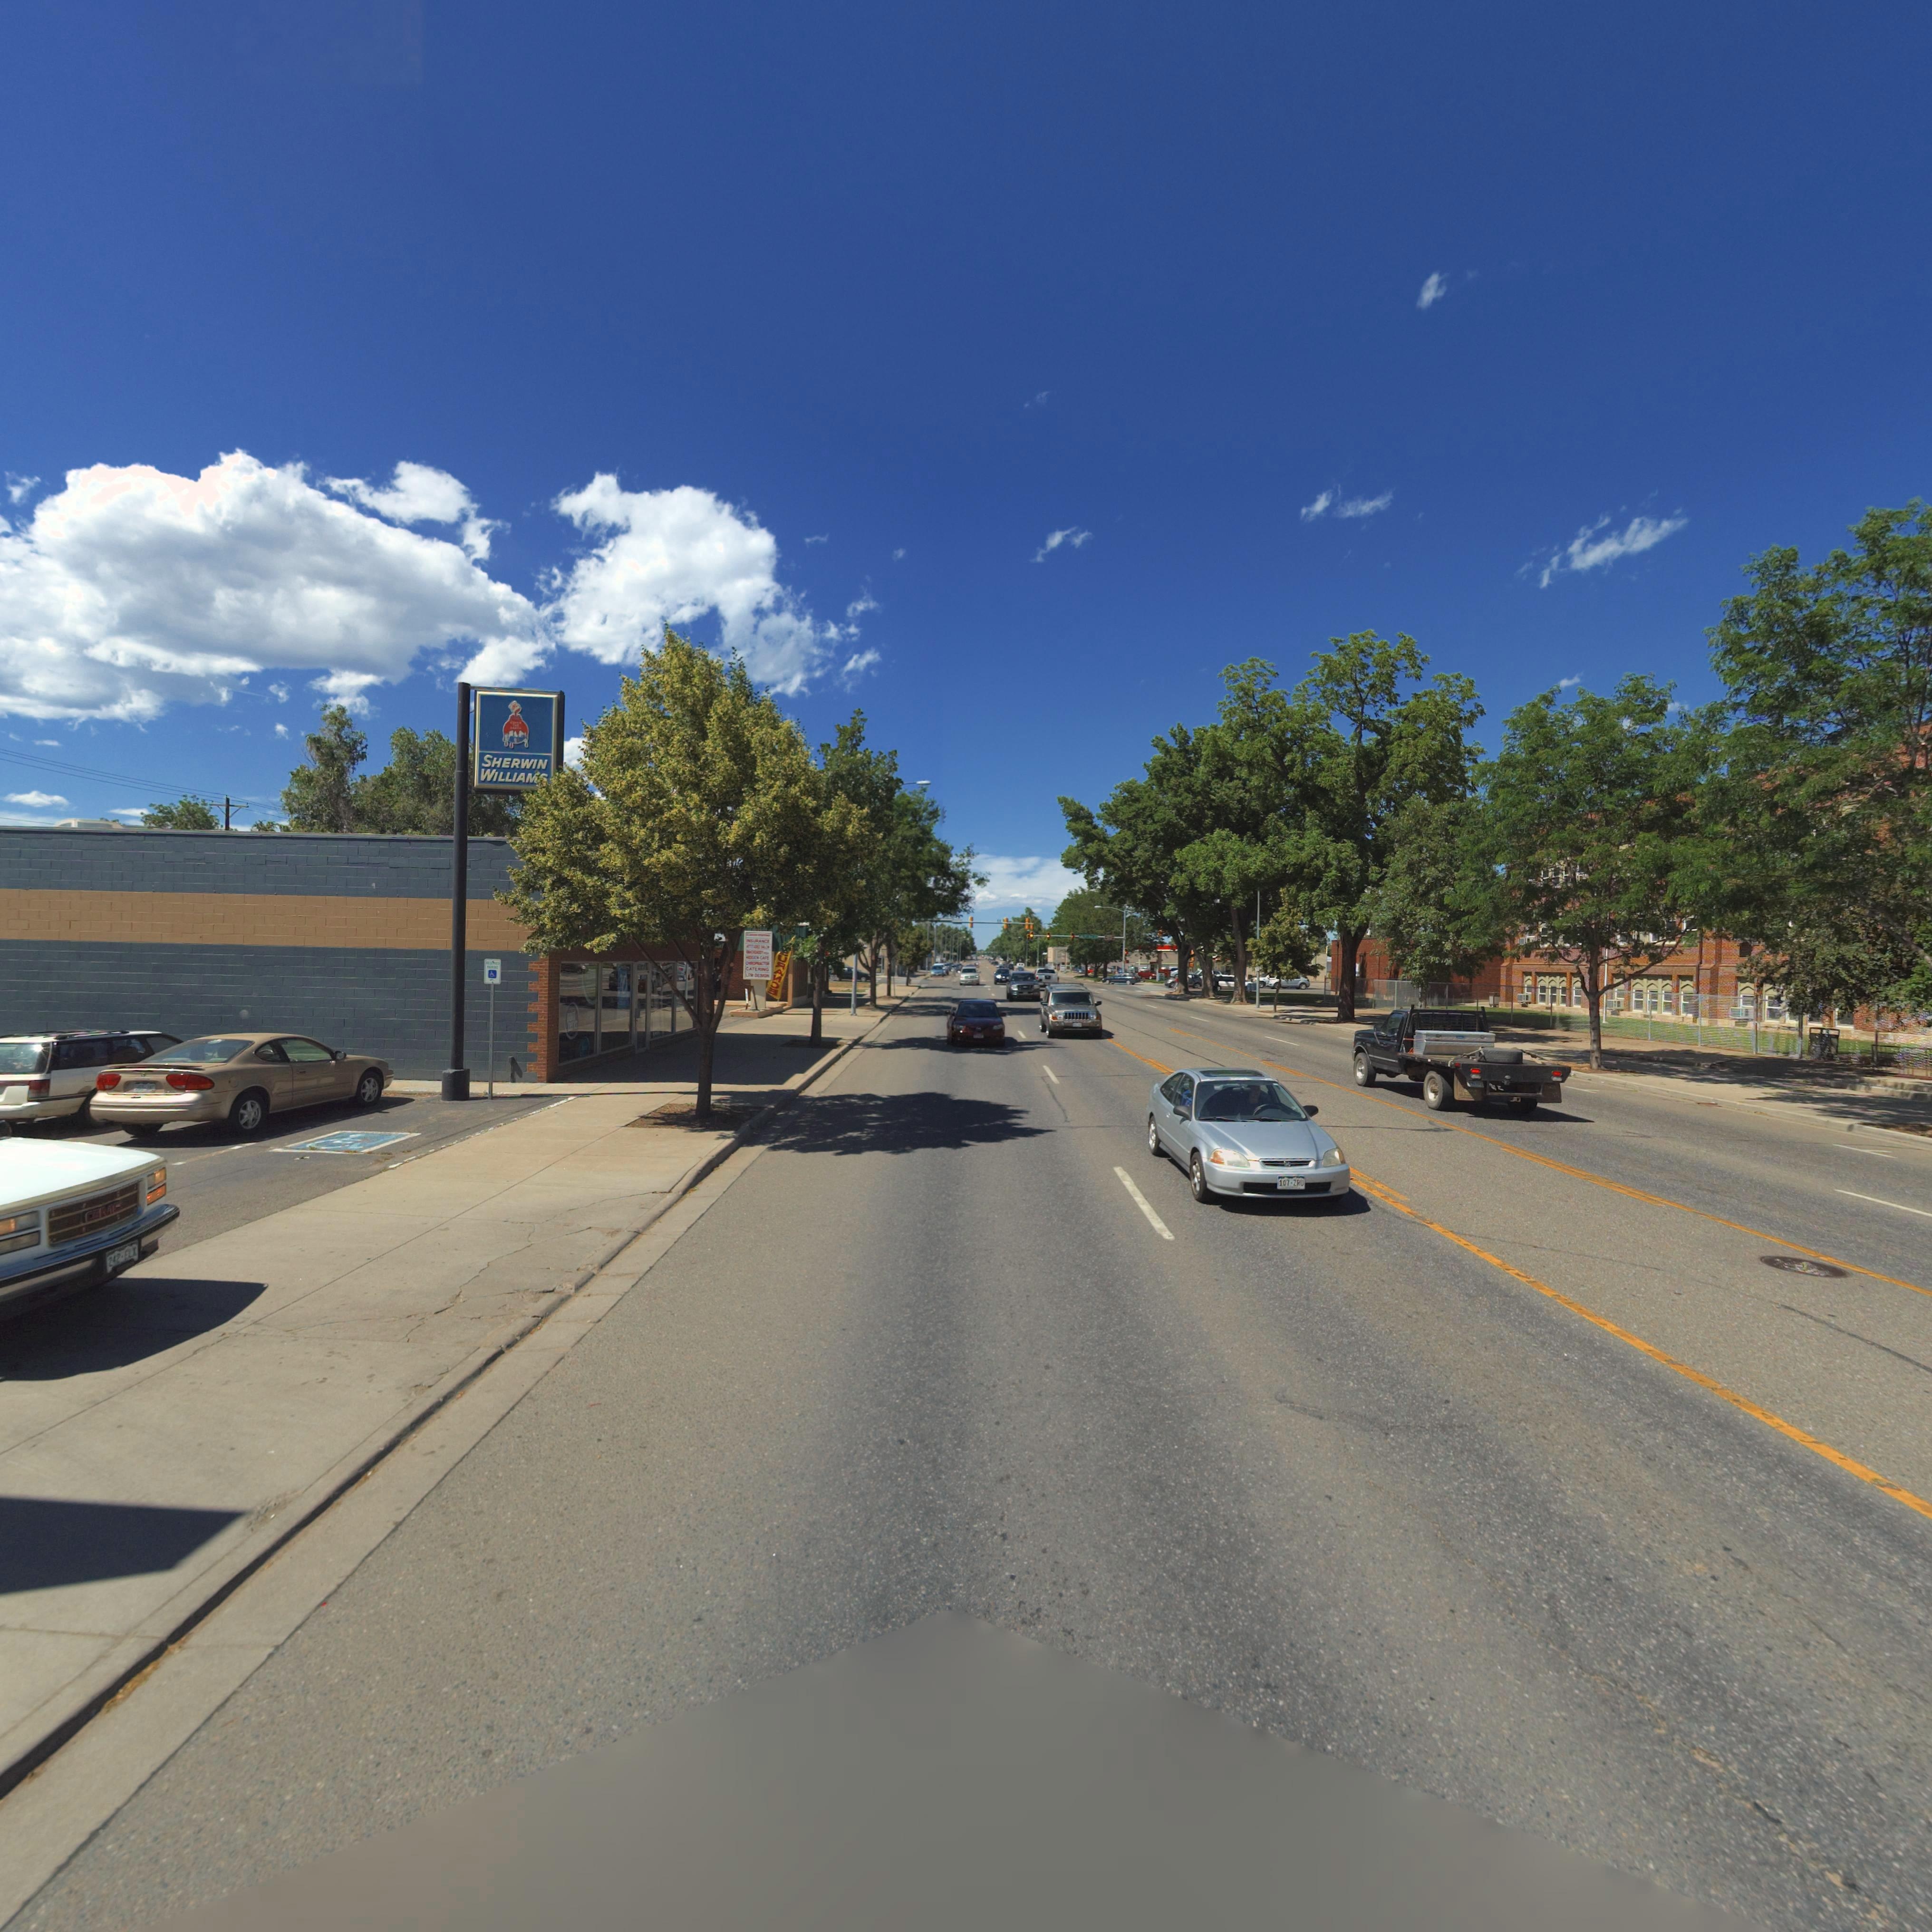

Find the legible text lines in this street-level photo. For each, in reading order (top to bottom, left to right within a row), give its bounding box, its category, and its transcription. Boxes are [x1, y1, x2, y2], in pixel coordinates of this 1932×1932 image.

[481, 754, 548, 770] BusinessName: SHERWIN
[480, 768, 549, 784] BusinessName: WILLIAM*
[745, 944, 770, 949] BusinessName: ATT***D** SALON
[746, 950, 763, 954] BusinessName: ***CKDADDY
[745, 955, 769, 960] BusinessName: HIDDEN CAFE
[745, 973, 770, 977] BusinessName: LTM DESIGN